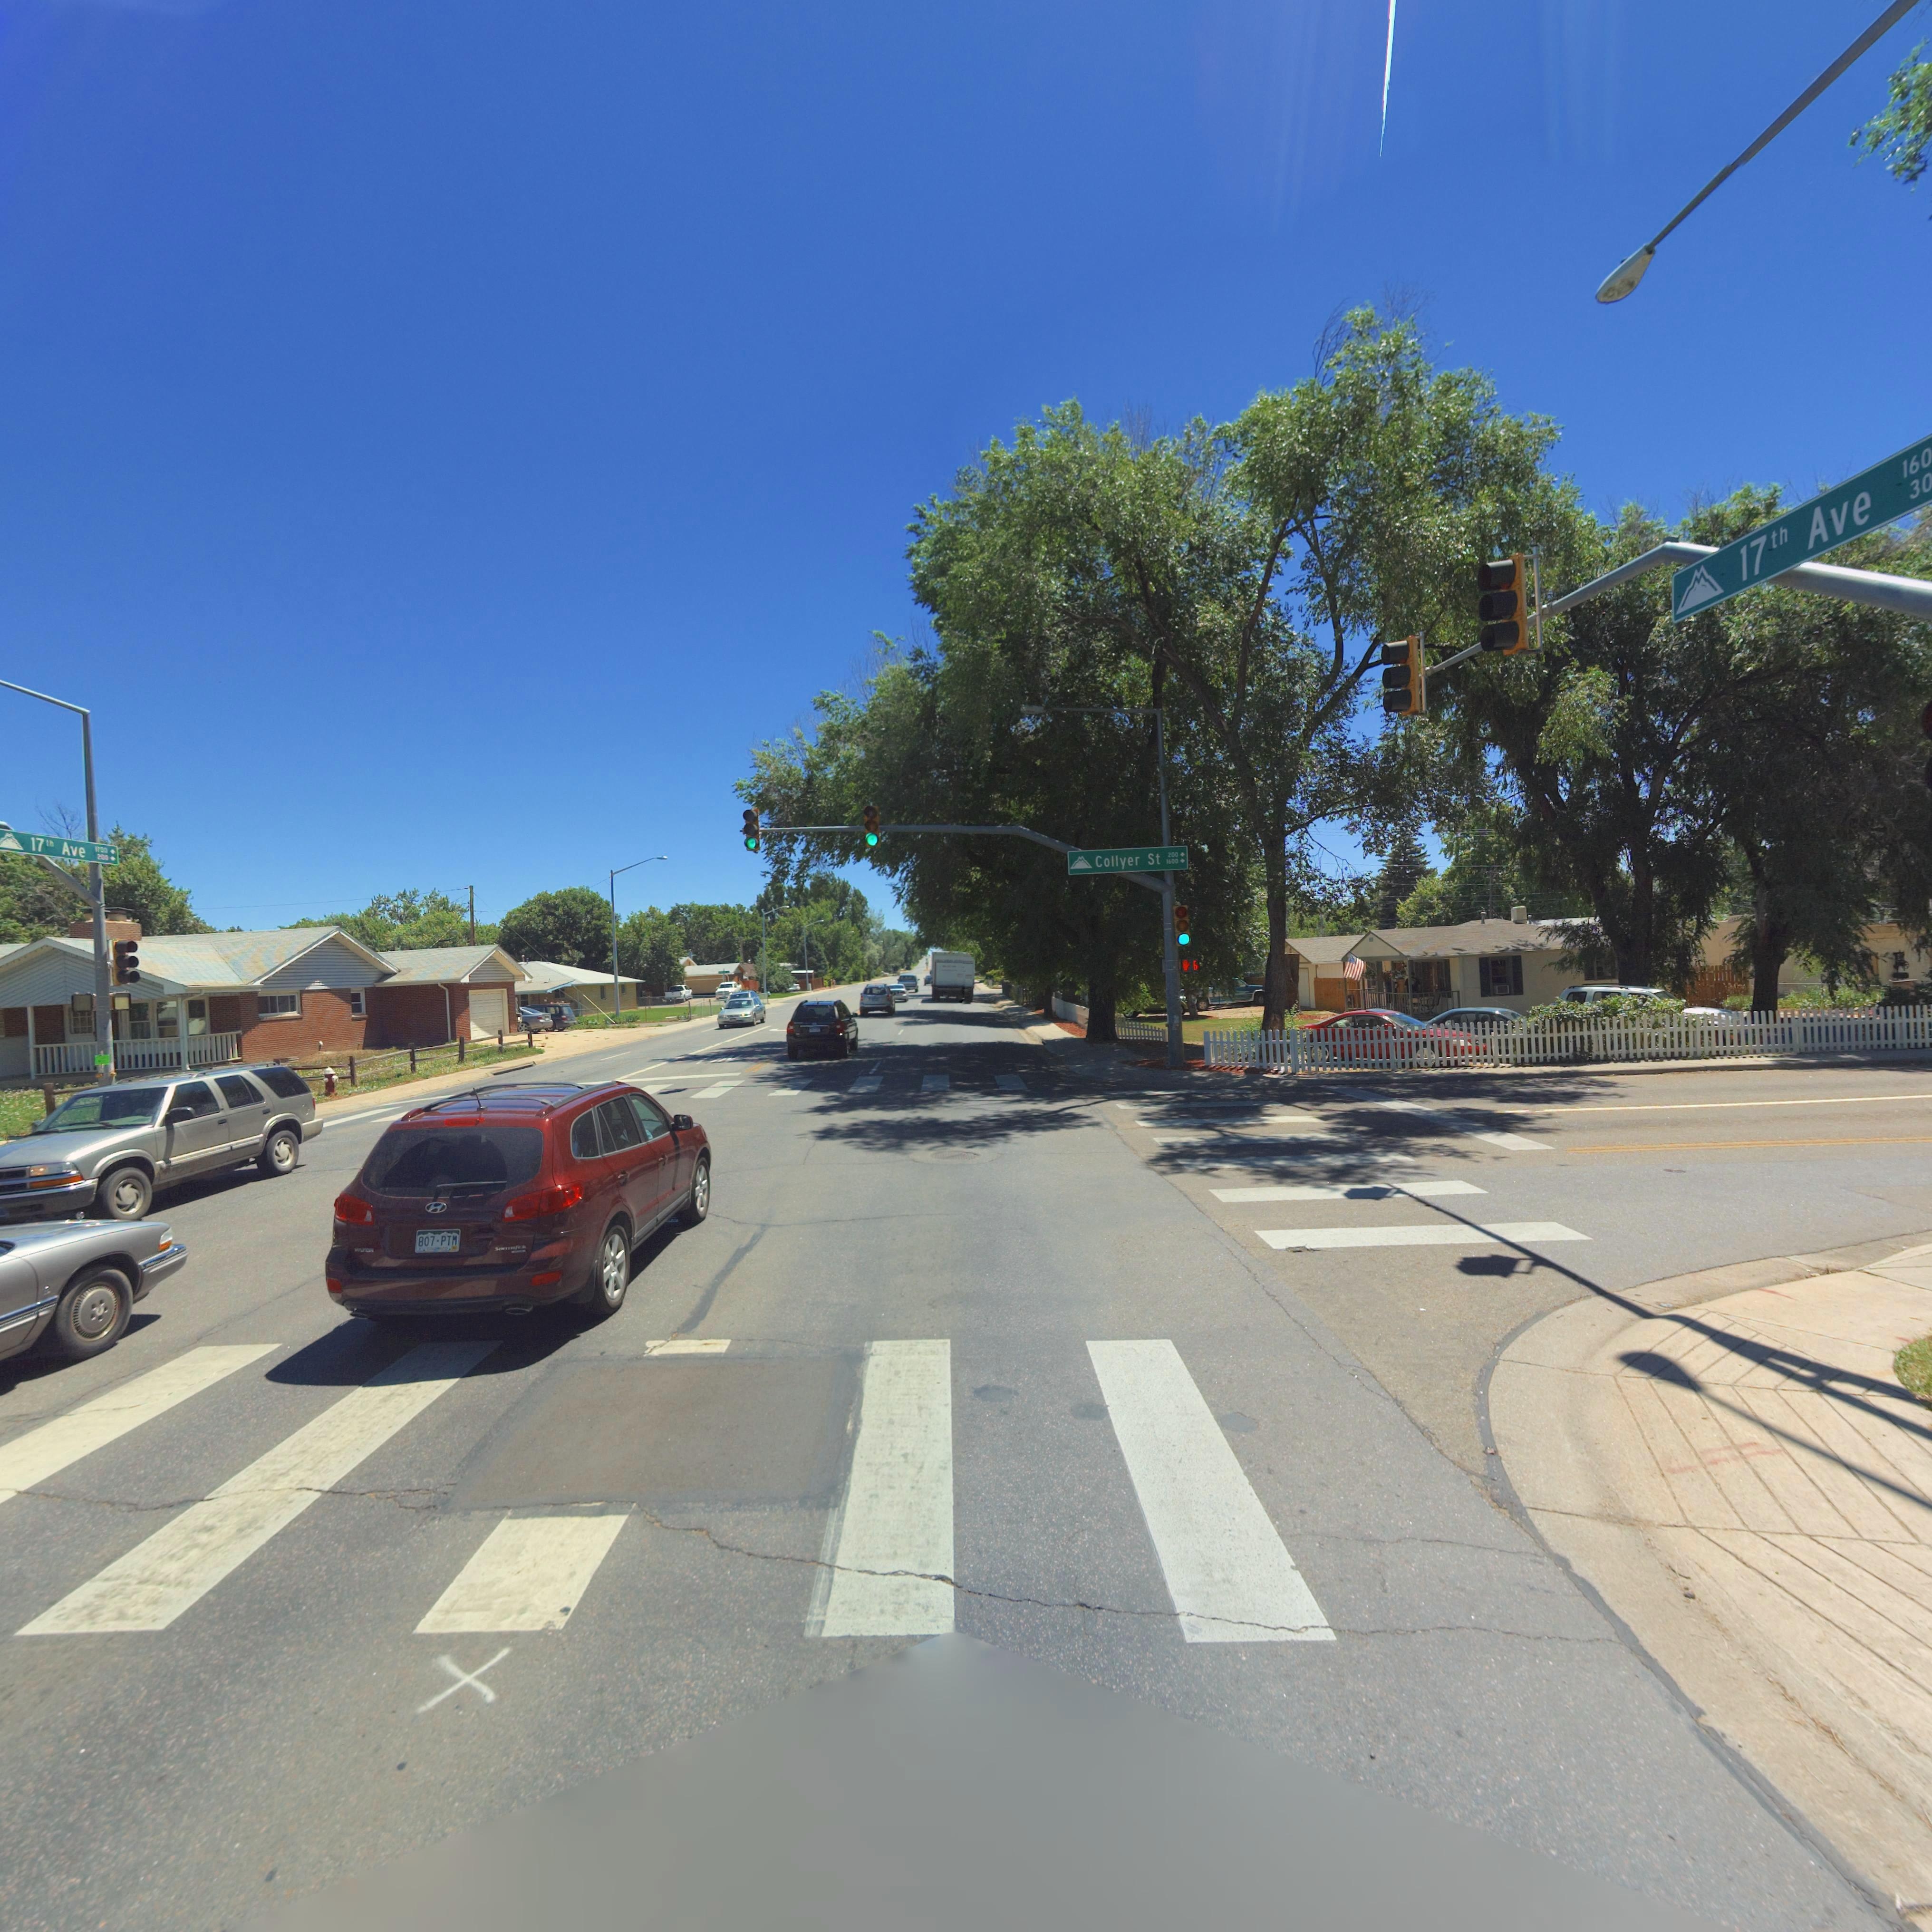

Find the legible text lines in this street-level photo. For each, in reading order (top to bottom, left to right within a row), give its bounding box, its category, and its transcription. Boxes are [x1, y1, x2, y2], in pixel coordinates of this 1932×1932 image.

[1902, 447, 1932, 478] StreetNumberRange: 160
[1909, 472, 1932, 499] StreetNumberRange: 30
[1740, 491, 1872, 581] StreetName: 17th Ave
[30, 837, 86, 858] StreetName: 17th Ave
[95, 846, 107, 853] StreetNumberRange: 1100
[97, 853, 116, 861] StreetNumberRange: 200->
[1095, 852, 1160, 869] StreetName: Collyer St
[1167, 852, 1178, 857] StreetNumberRange: 200
[1166, 858, 1185, 864] StreetNumberRange: 1600->